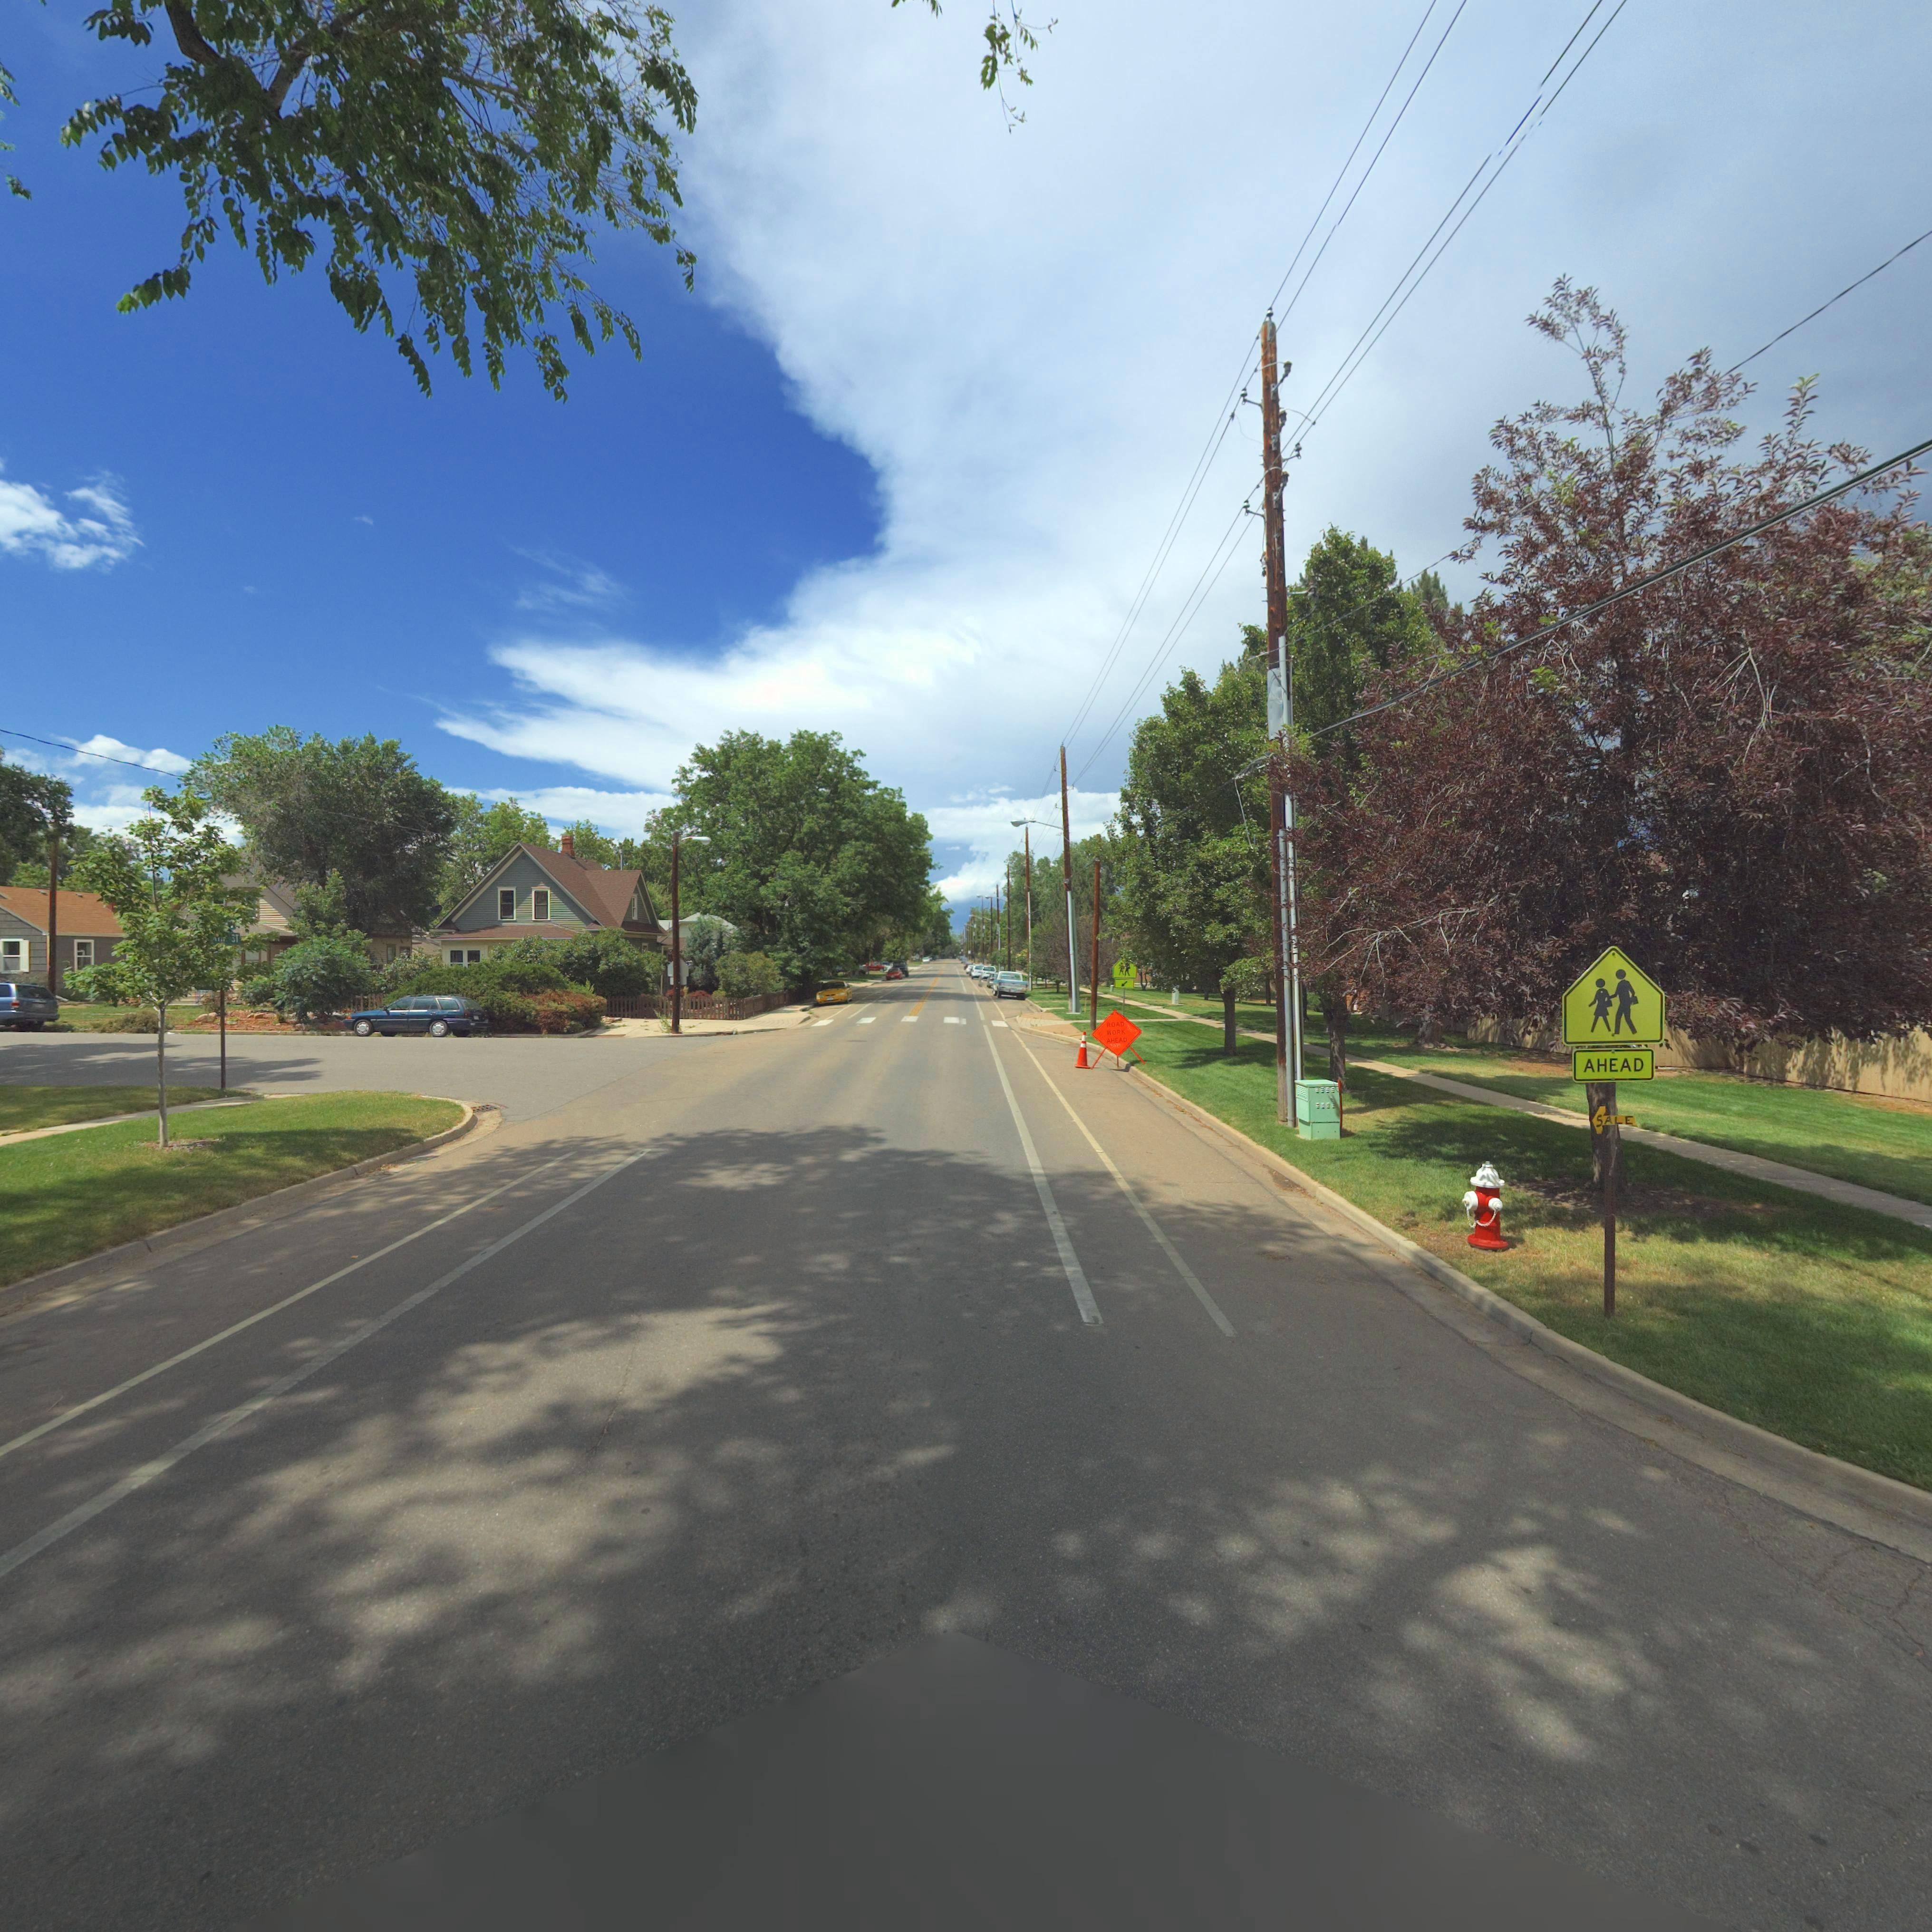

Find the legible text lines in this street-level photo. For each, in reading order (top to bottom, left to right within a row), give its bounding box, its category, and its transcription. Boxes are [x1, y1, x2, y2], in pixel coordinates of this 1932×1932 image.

[211, 931, 239, 943] StreetName: ***** ST